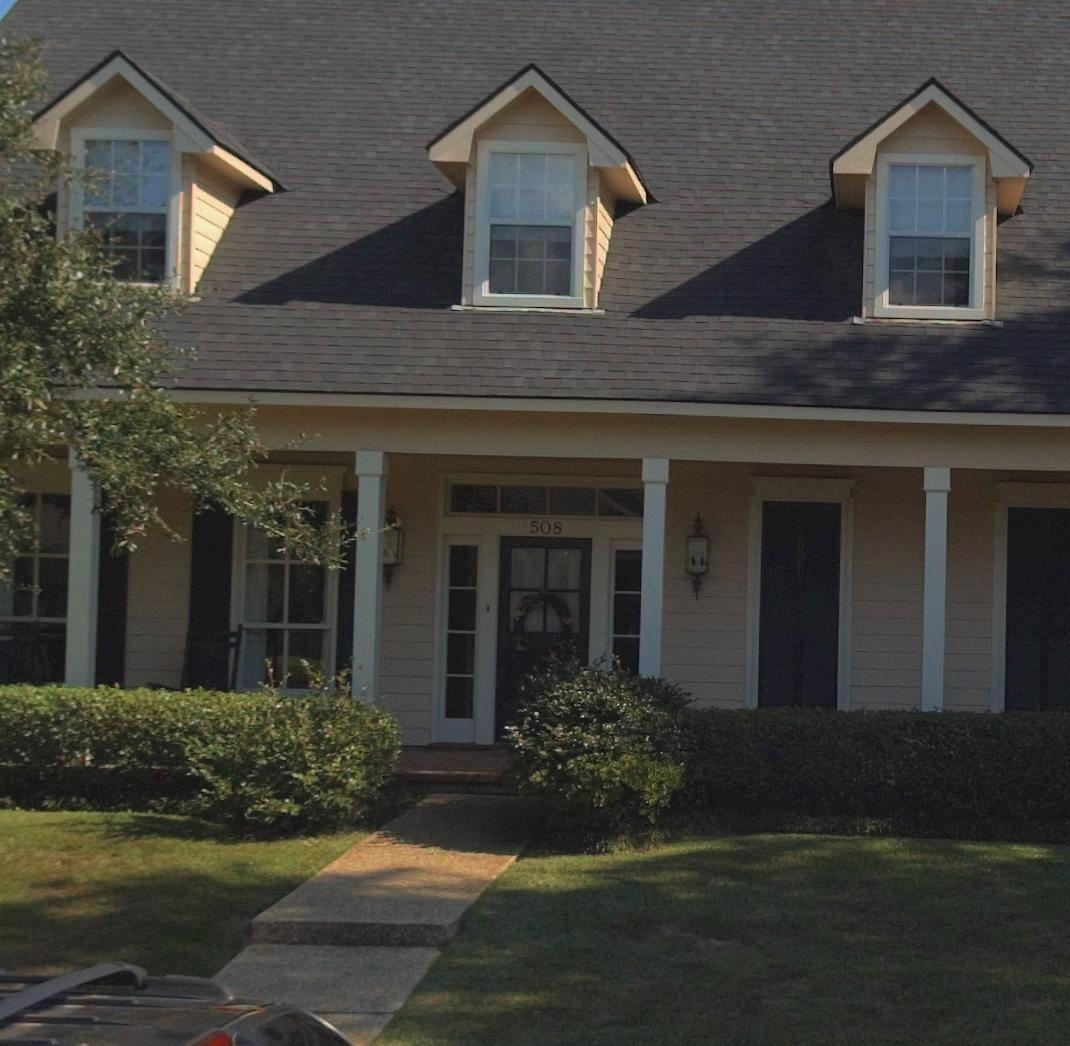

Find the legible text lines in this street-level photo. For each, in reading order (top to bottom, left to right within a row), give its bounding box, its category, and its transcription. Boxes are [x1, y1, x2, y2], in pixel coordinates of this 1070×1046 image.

[529, 520, 562, 535] StreetNumber: 508